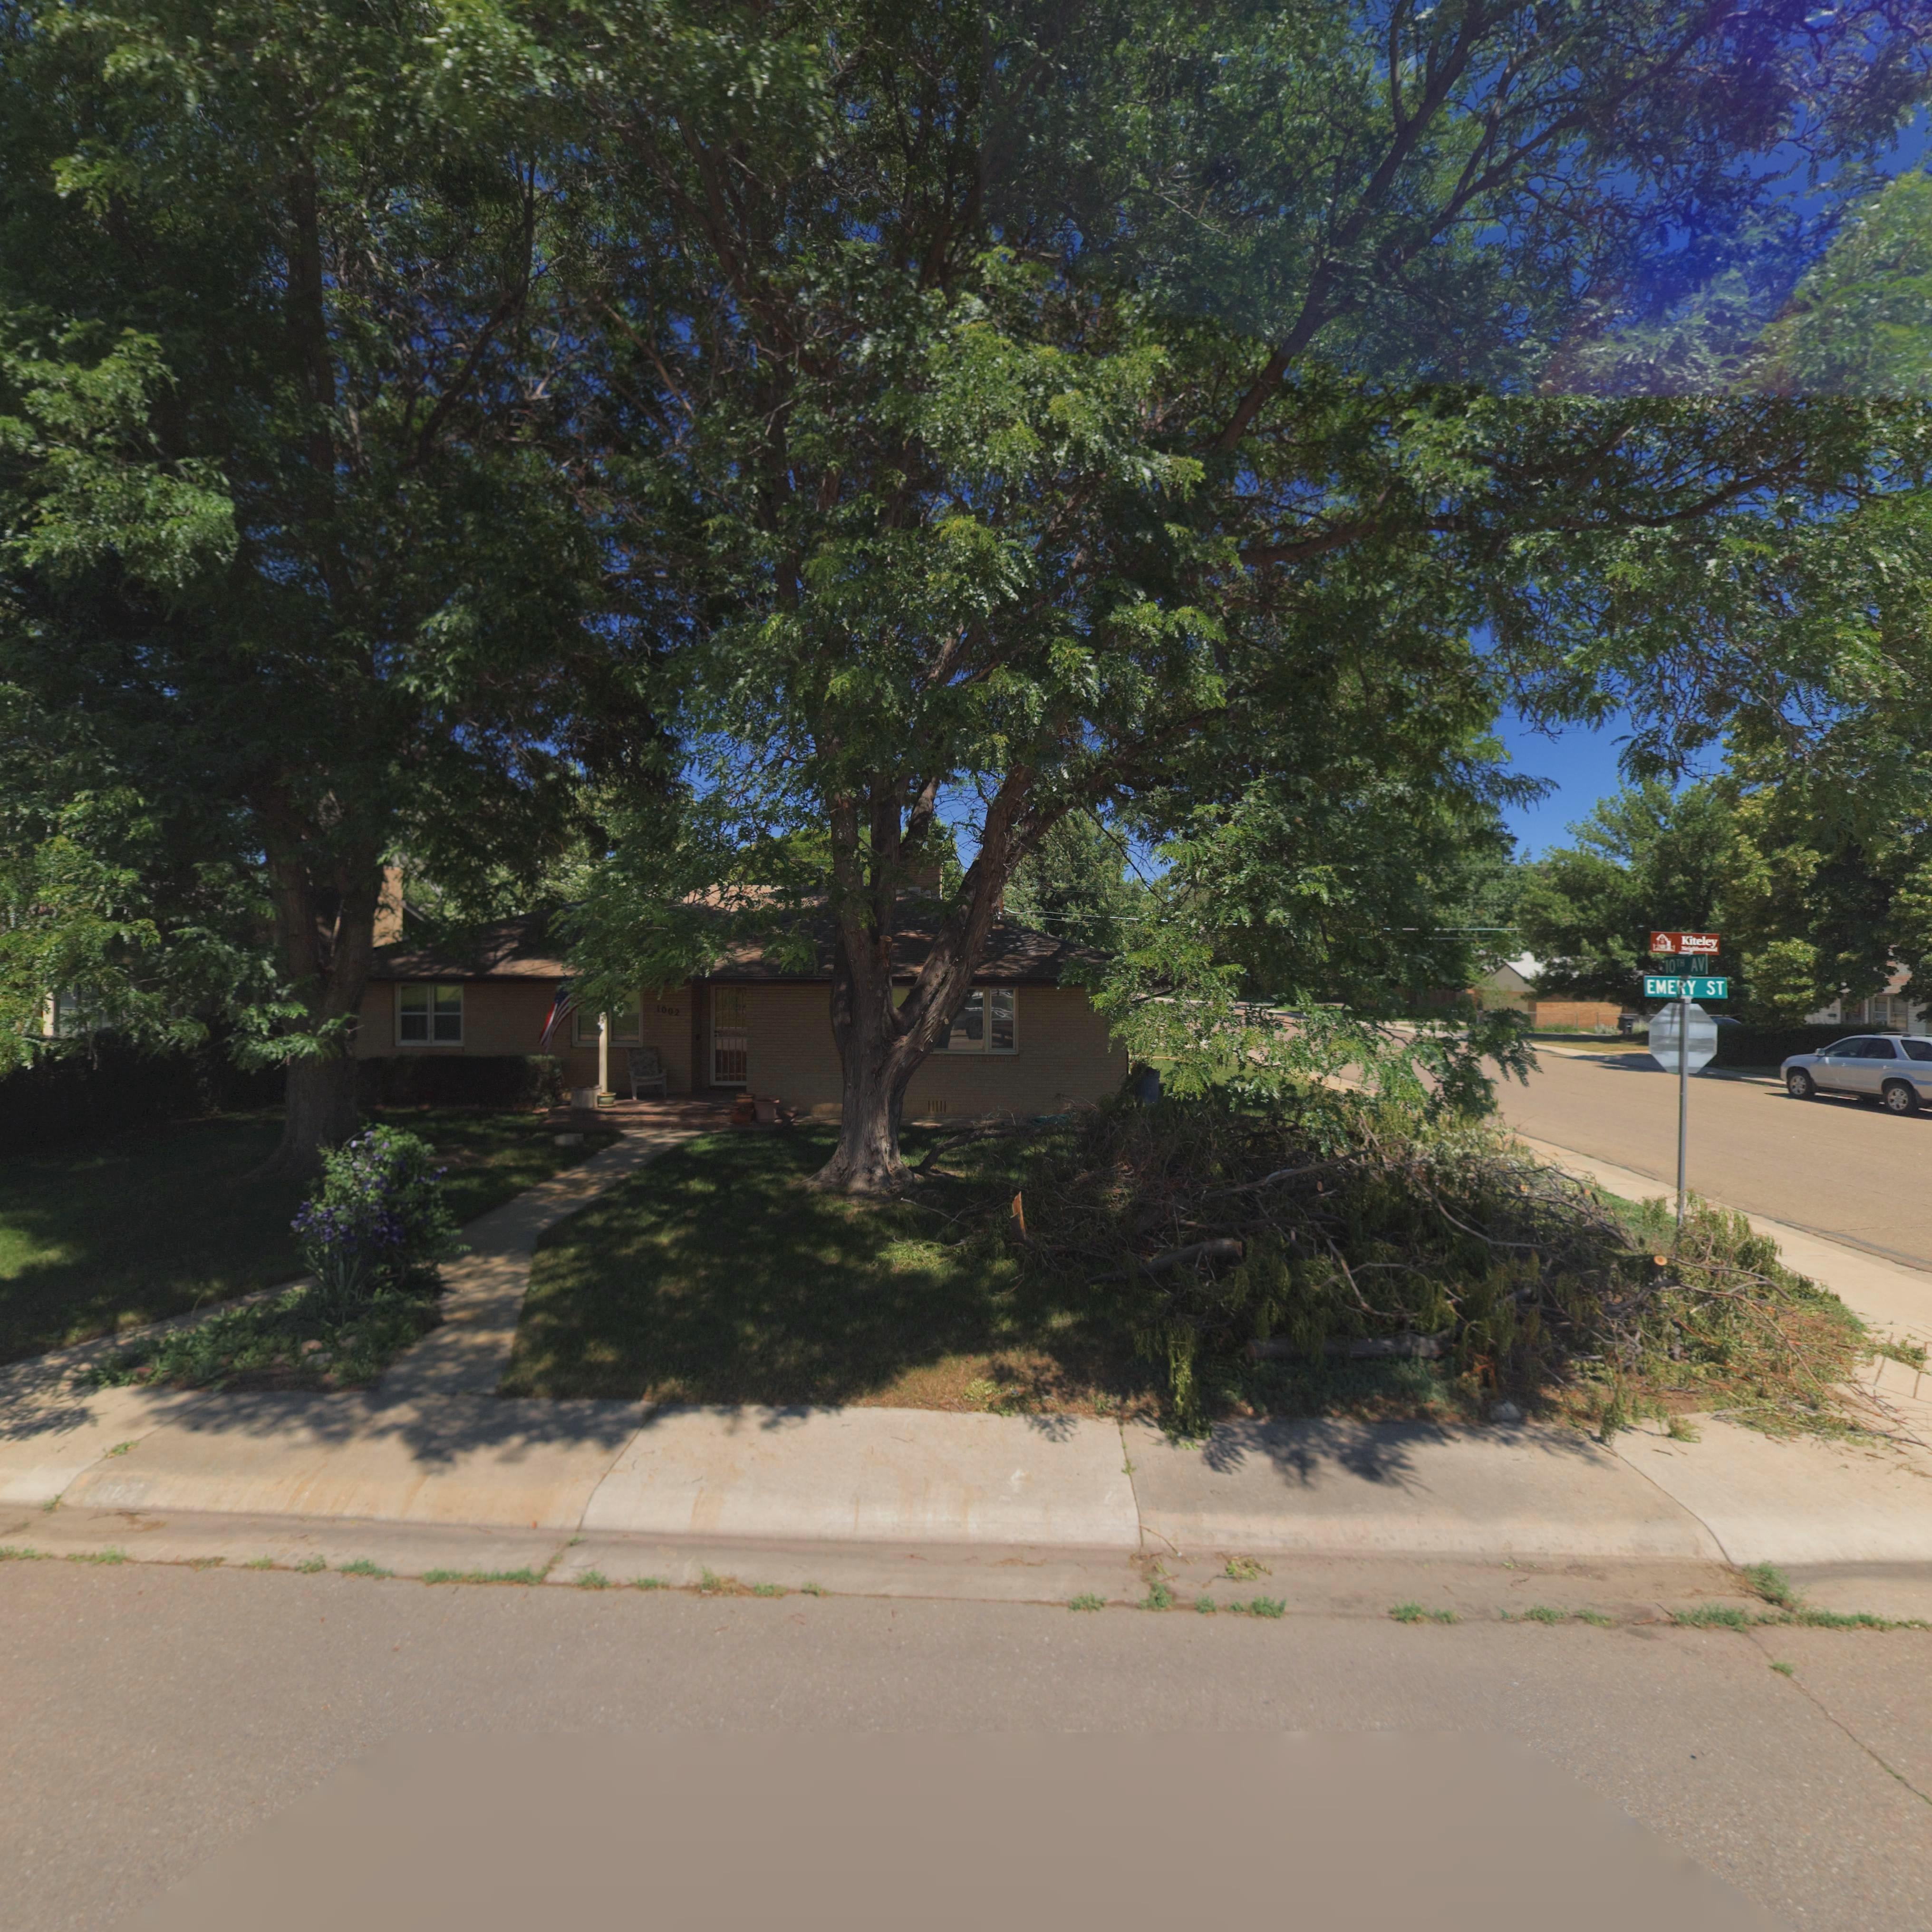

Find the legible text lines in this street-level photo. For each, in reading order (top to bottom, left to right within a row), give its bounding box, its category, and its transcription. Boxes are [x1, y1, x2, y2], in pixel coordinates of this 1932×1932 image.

[1665, 956, 1705, 973] StreetName: 10th AV
[1646, 979, 1725, 995] StreetName: EMERY ST
[657, 1005, 679, 1016] StreetNumber: 1002